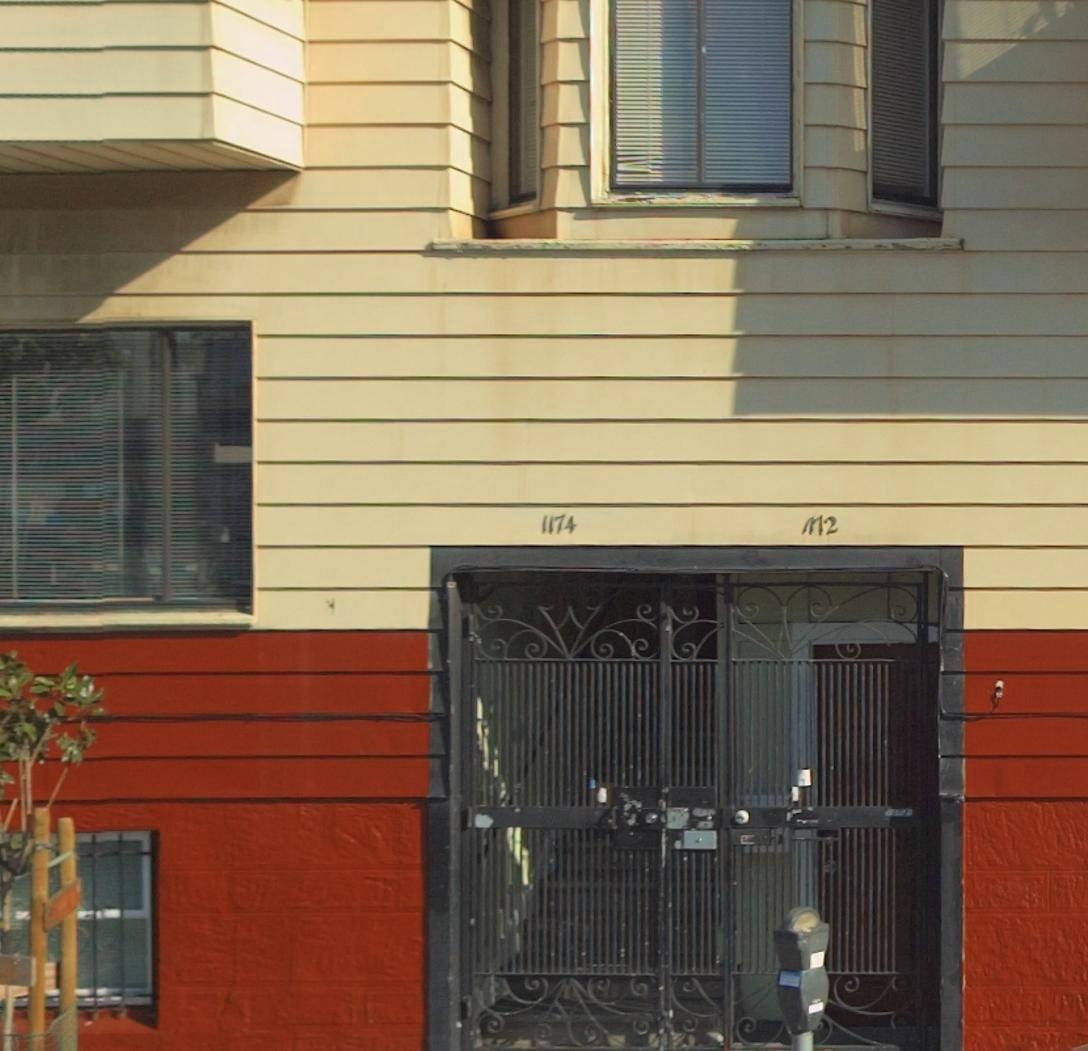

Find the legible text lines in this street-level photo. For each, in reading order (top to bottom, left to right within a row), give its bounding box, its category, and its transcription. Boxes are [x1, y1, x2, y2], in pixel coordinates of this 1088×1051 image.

[539, 513, 578, 538] StreetNumber: 1174
[800, 513, 838, 537] StreetNumber: *174